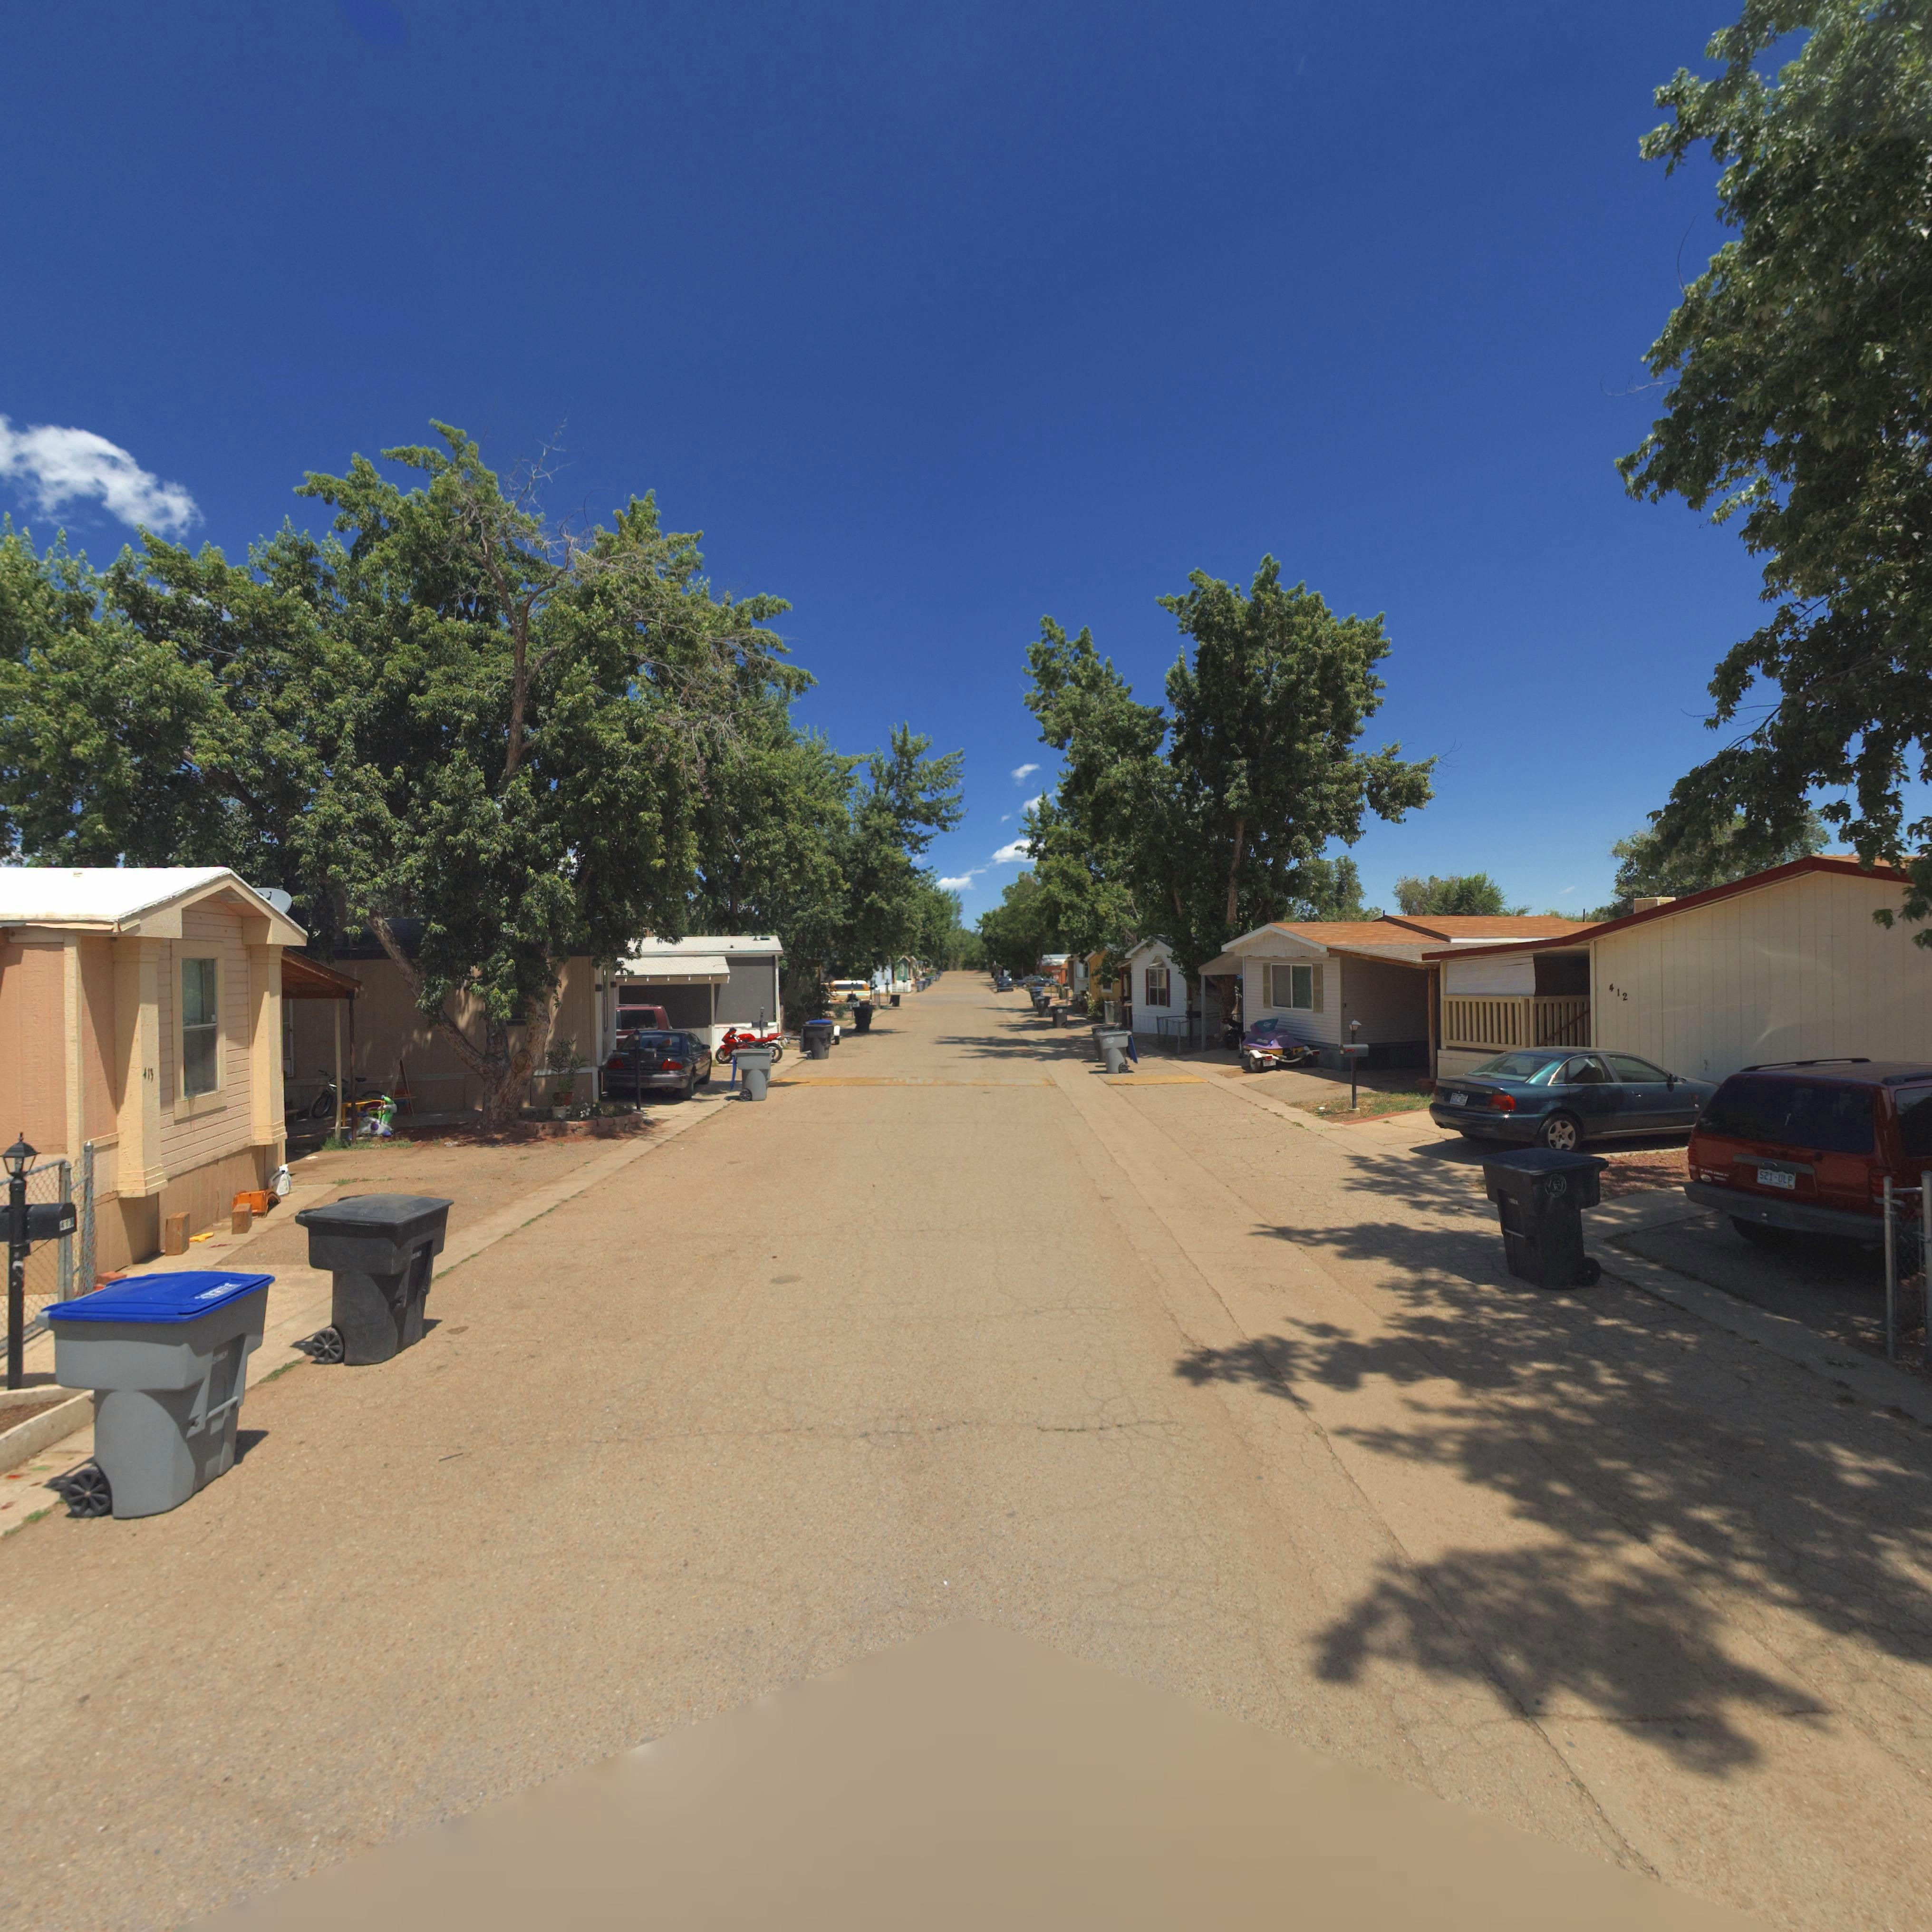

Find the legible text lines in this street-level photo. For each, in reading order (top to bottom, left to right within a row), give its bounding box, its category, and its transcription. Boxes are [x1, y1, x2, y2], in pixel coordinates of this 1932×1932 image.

[1609, 983, 1628, 1001] StreetNumber: 412
[143, 1066, 154, 1082] StreetNumber: *1*
[60, 1217, 73, 1230] StreetNumber: 41*